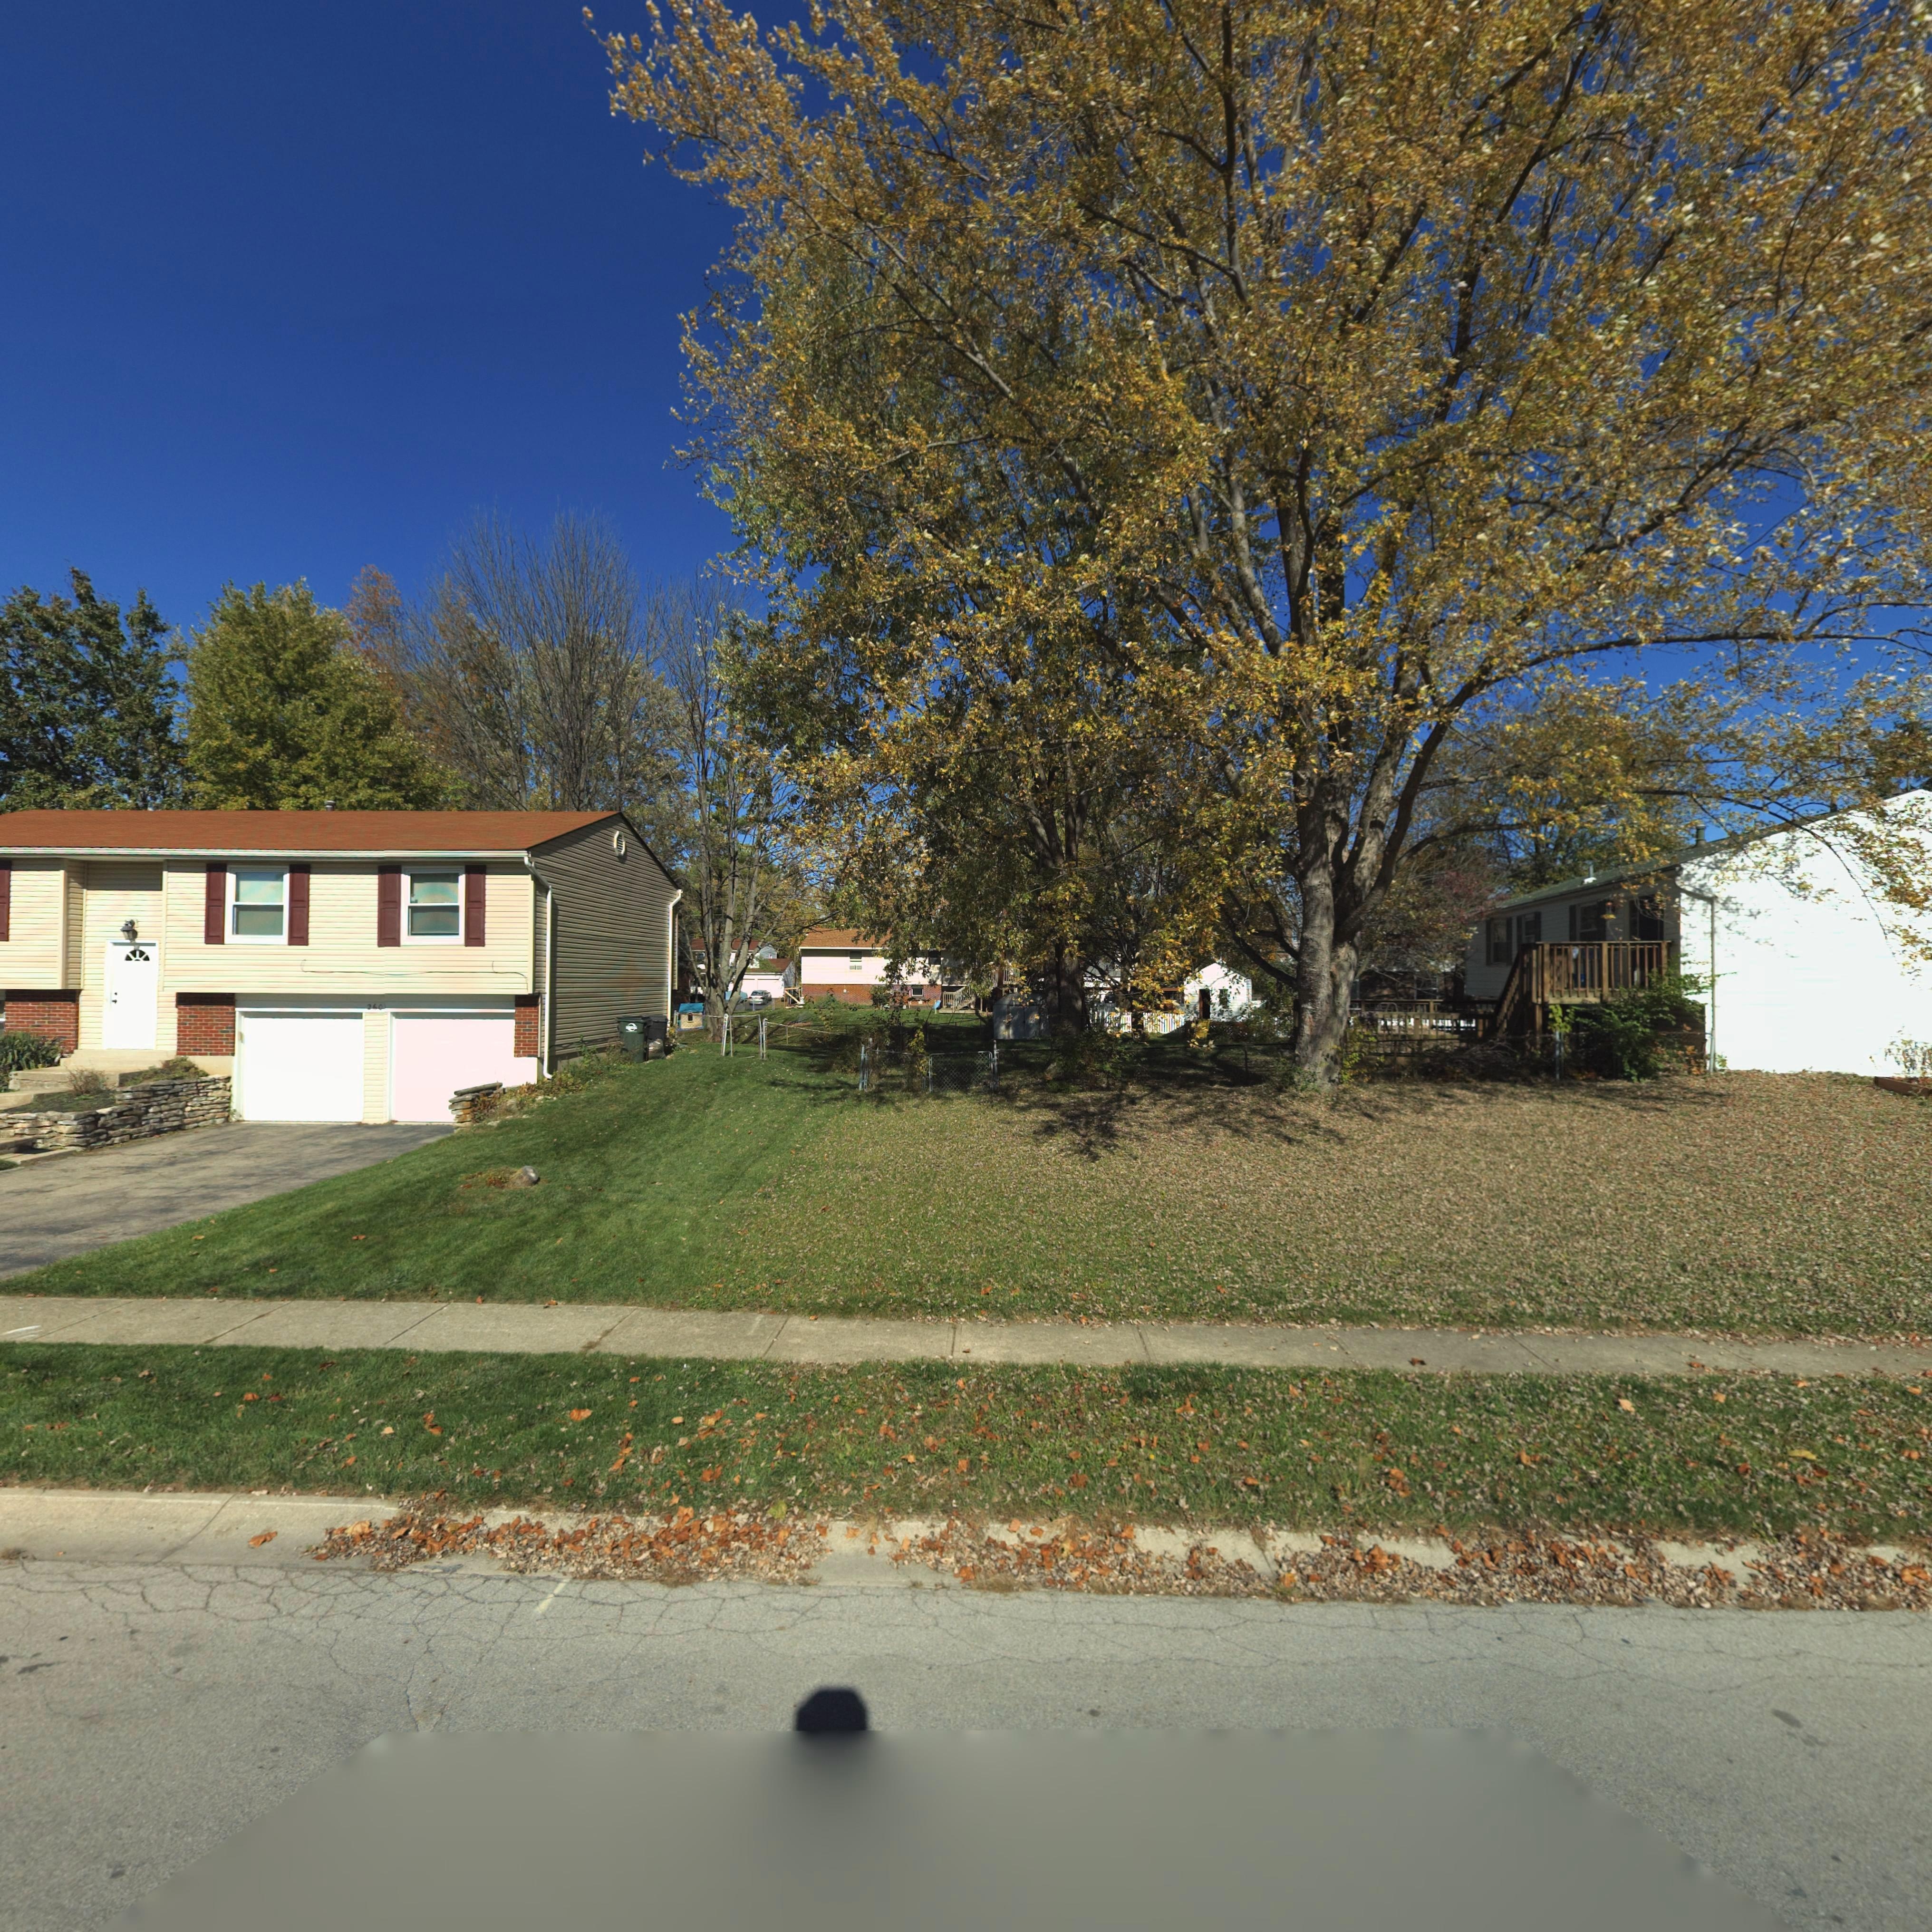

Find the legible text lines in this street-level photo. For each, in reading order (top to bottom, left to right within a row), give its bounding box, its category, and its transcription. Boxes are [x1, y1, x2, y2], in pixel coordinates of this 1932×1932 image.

[366, 1002, 384, 1011] StreetNumber: 260